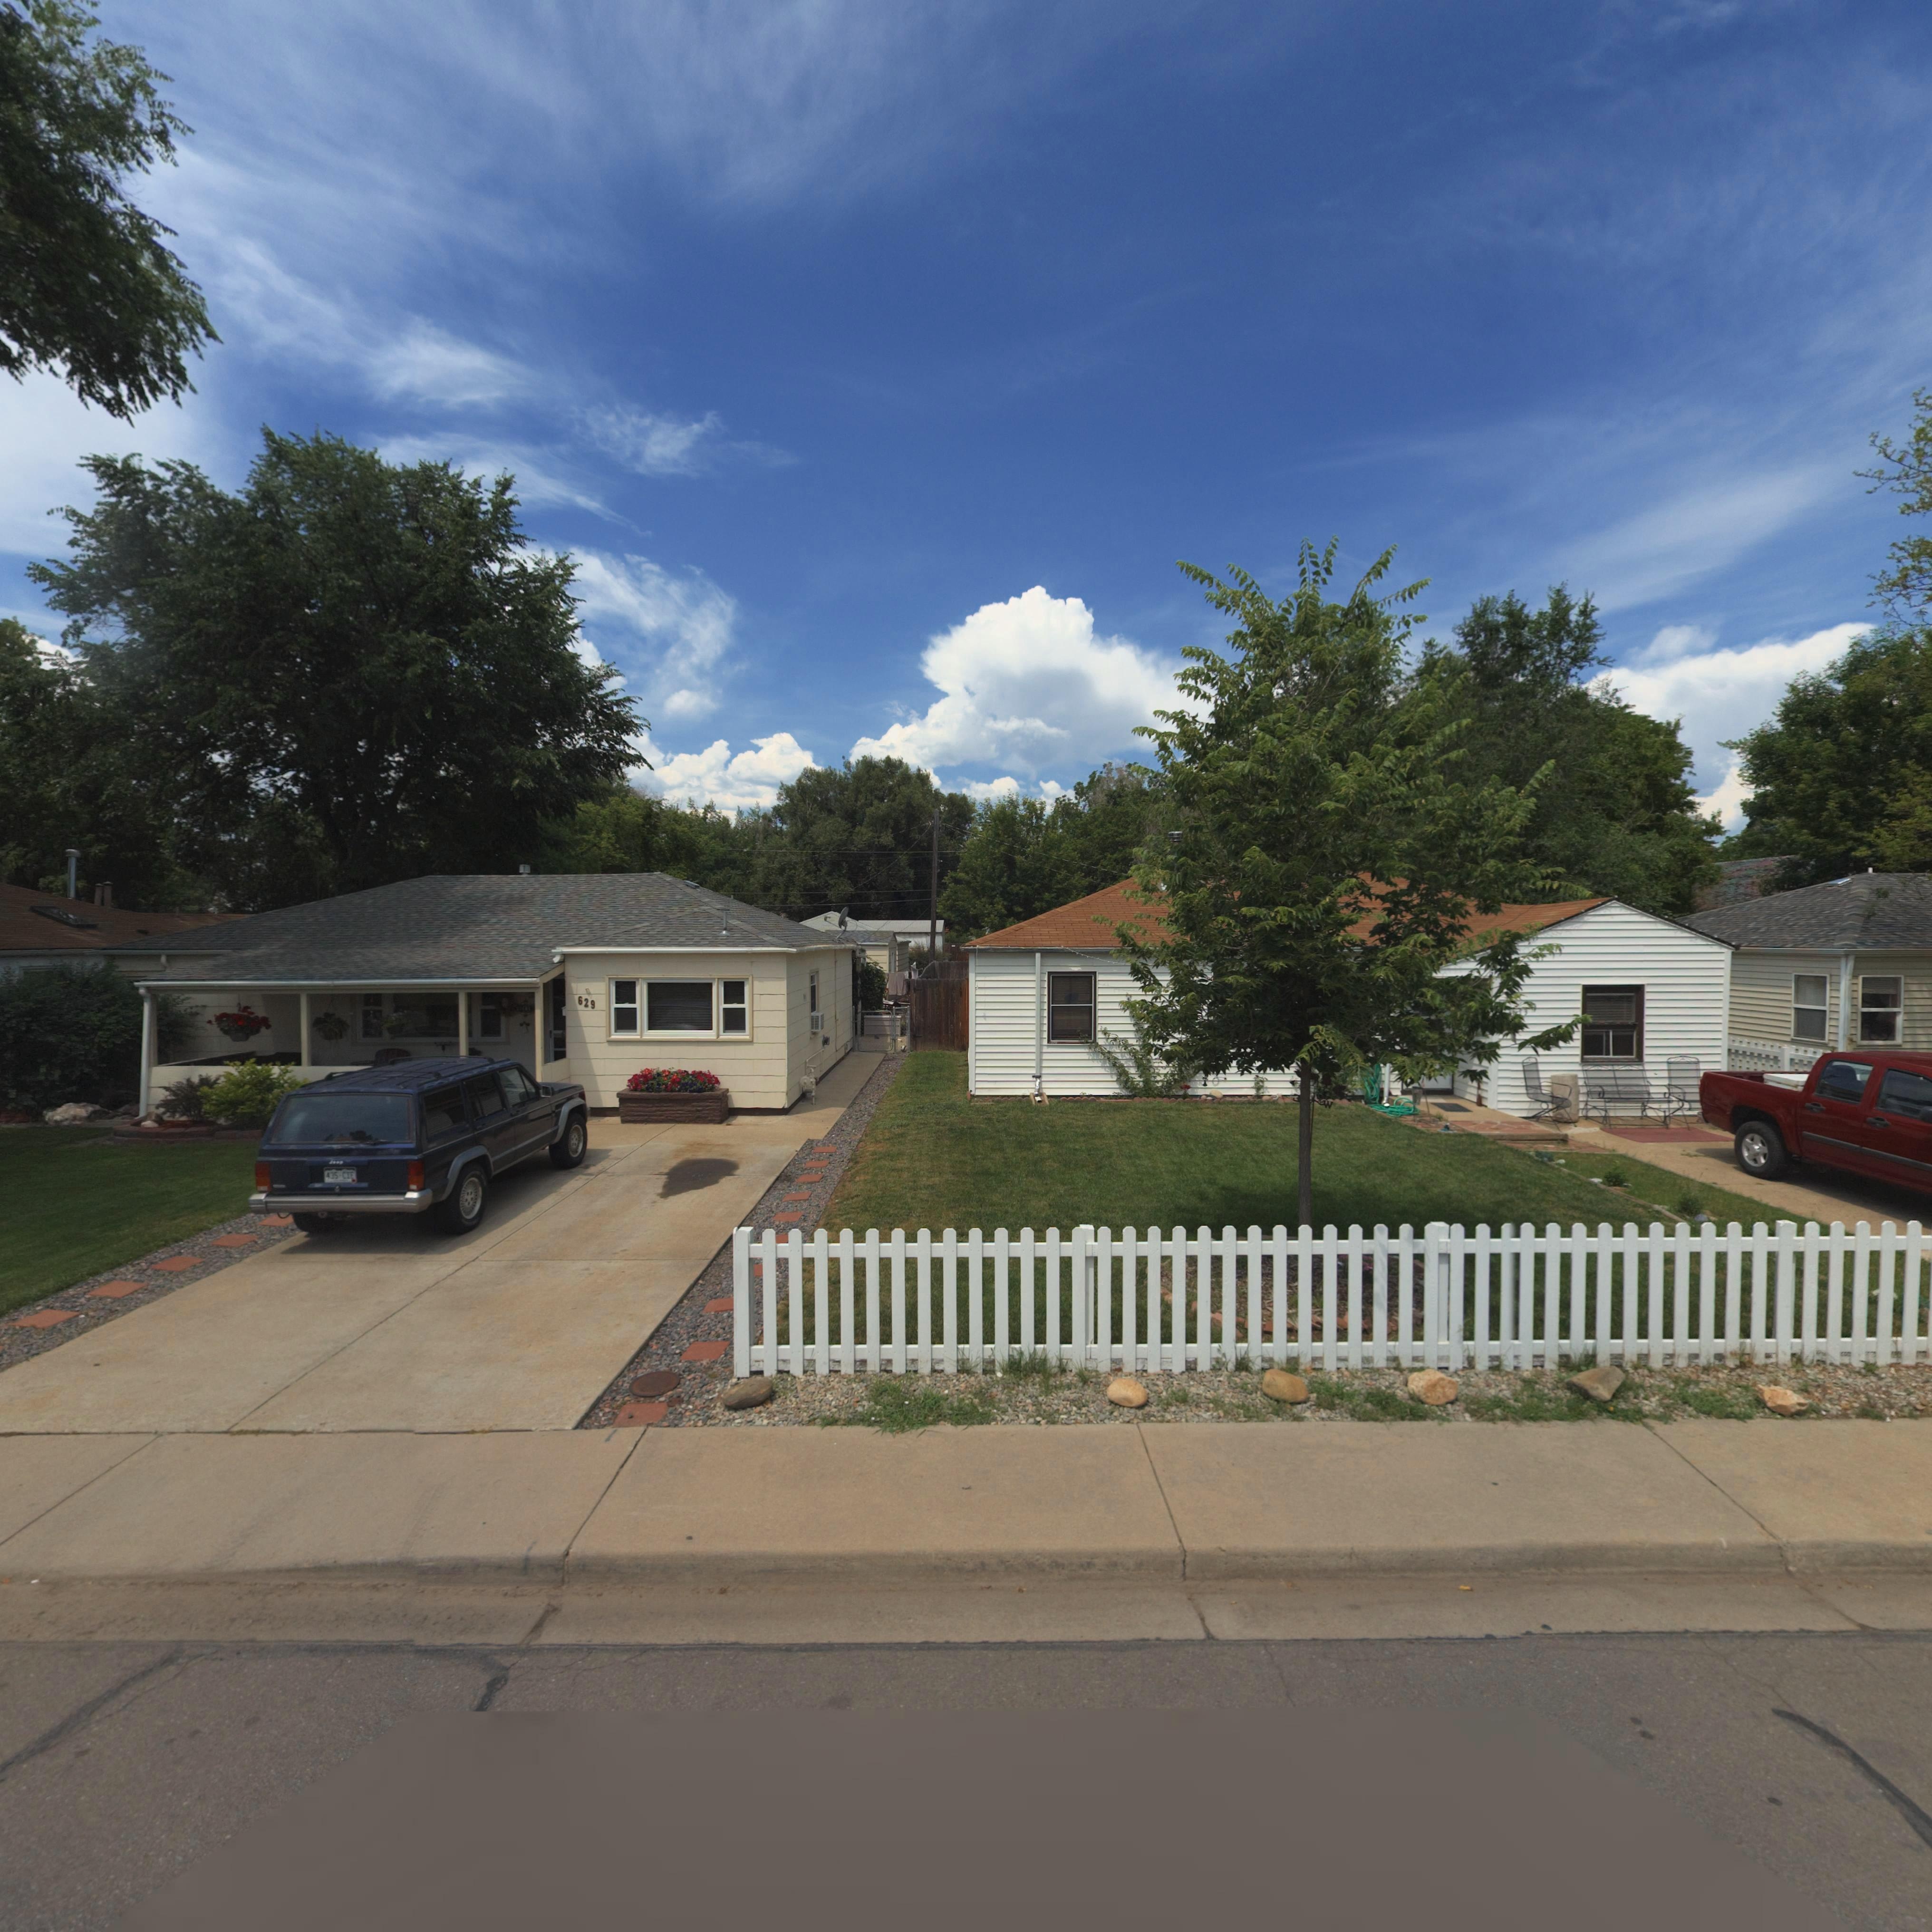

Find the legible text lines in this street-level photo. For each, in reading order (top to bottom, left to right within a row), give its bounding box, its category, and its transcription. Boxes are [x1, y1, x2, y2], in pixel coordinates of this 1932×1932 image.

[578, 995, 595, 1009] StreetNumber: 629